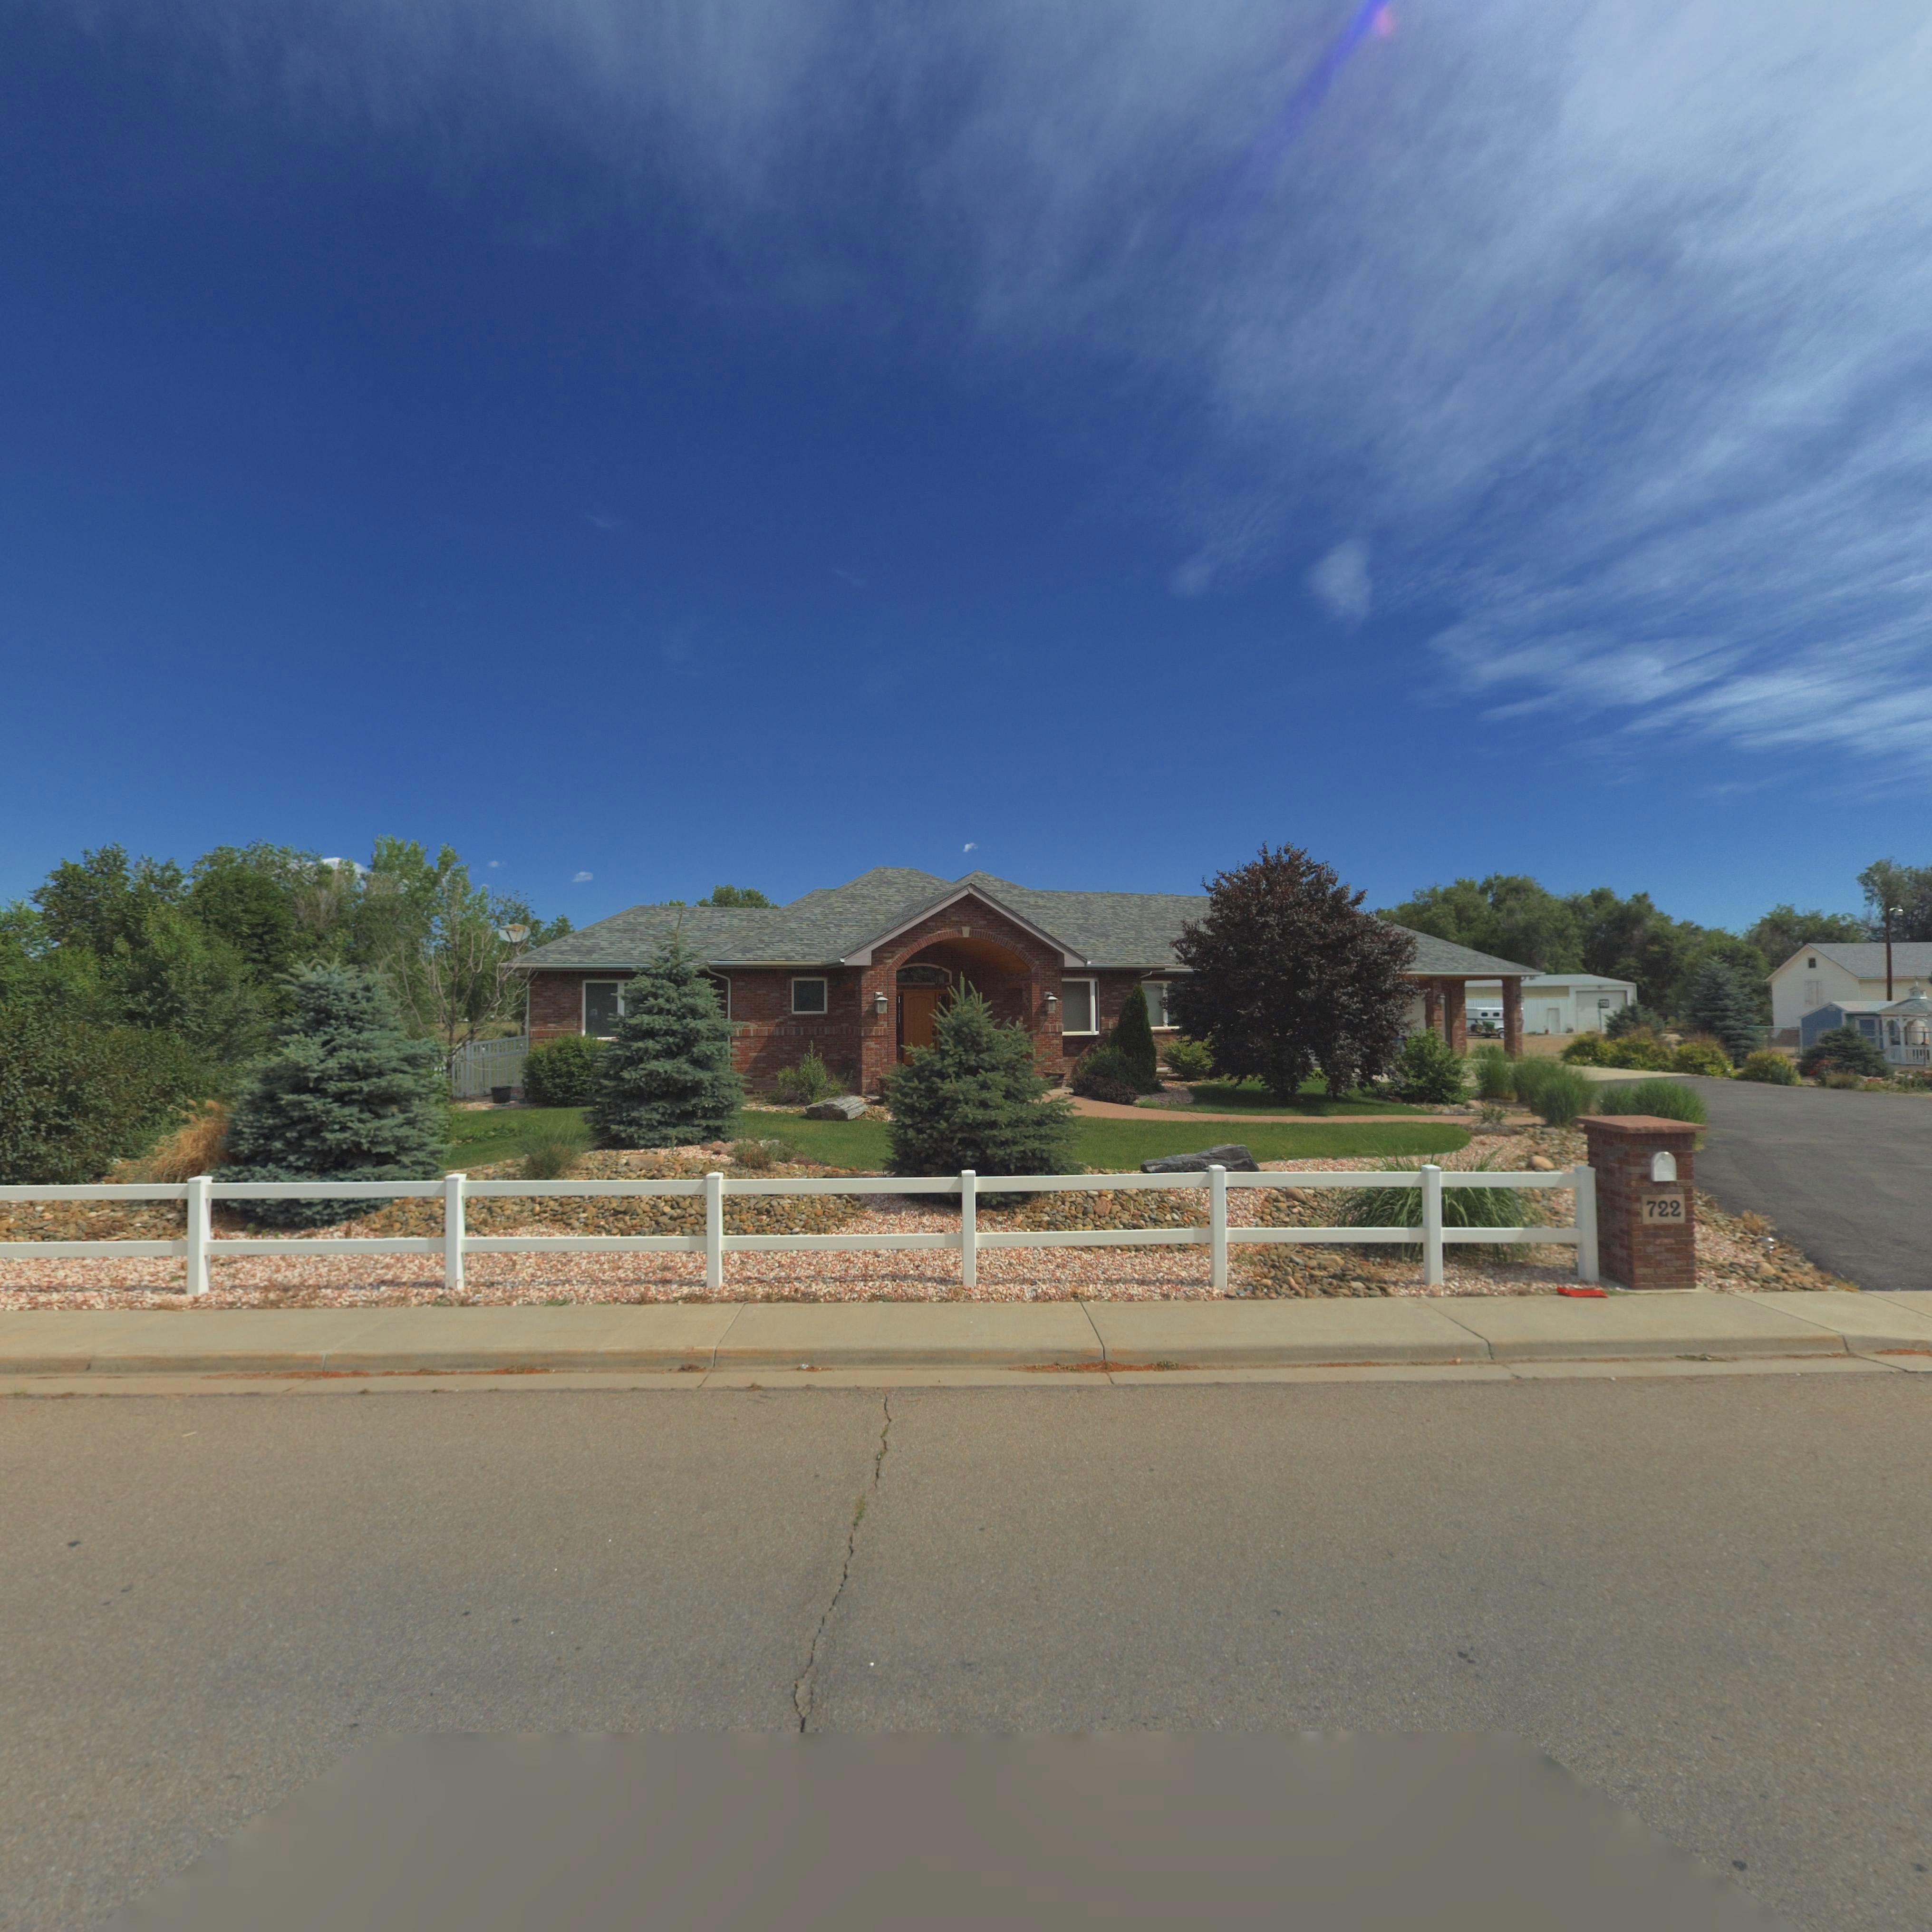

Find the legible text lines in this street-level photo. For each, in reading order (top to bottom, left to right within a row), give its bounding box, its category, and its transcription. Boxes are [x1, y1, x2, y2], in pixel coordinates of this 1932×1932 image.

[1645, 1199, 1682, 1218] StreetNumber: 722